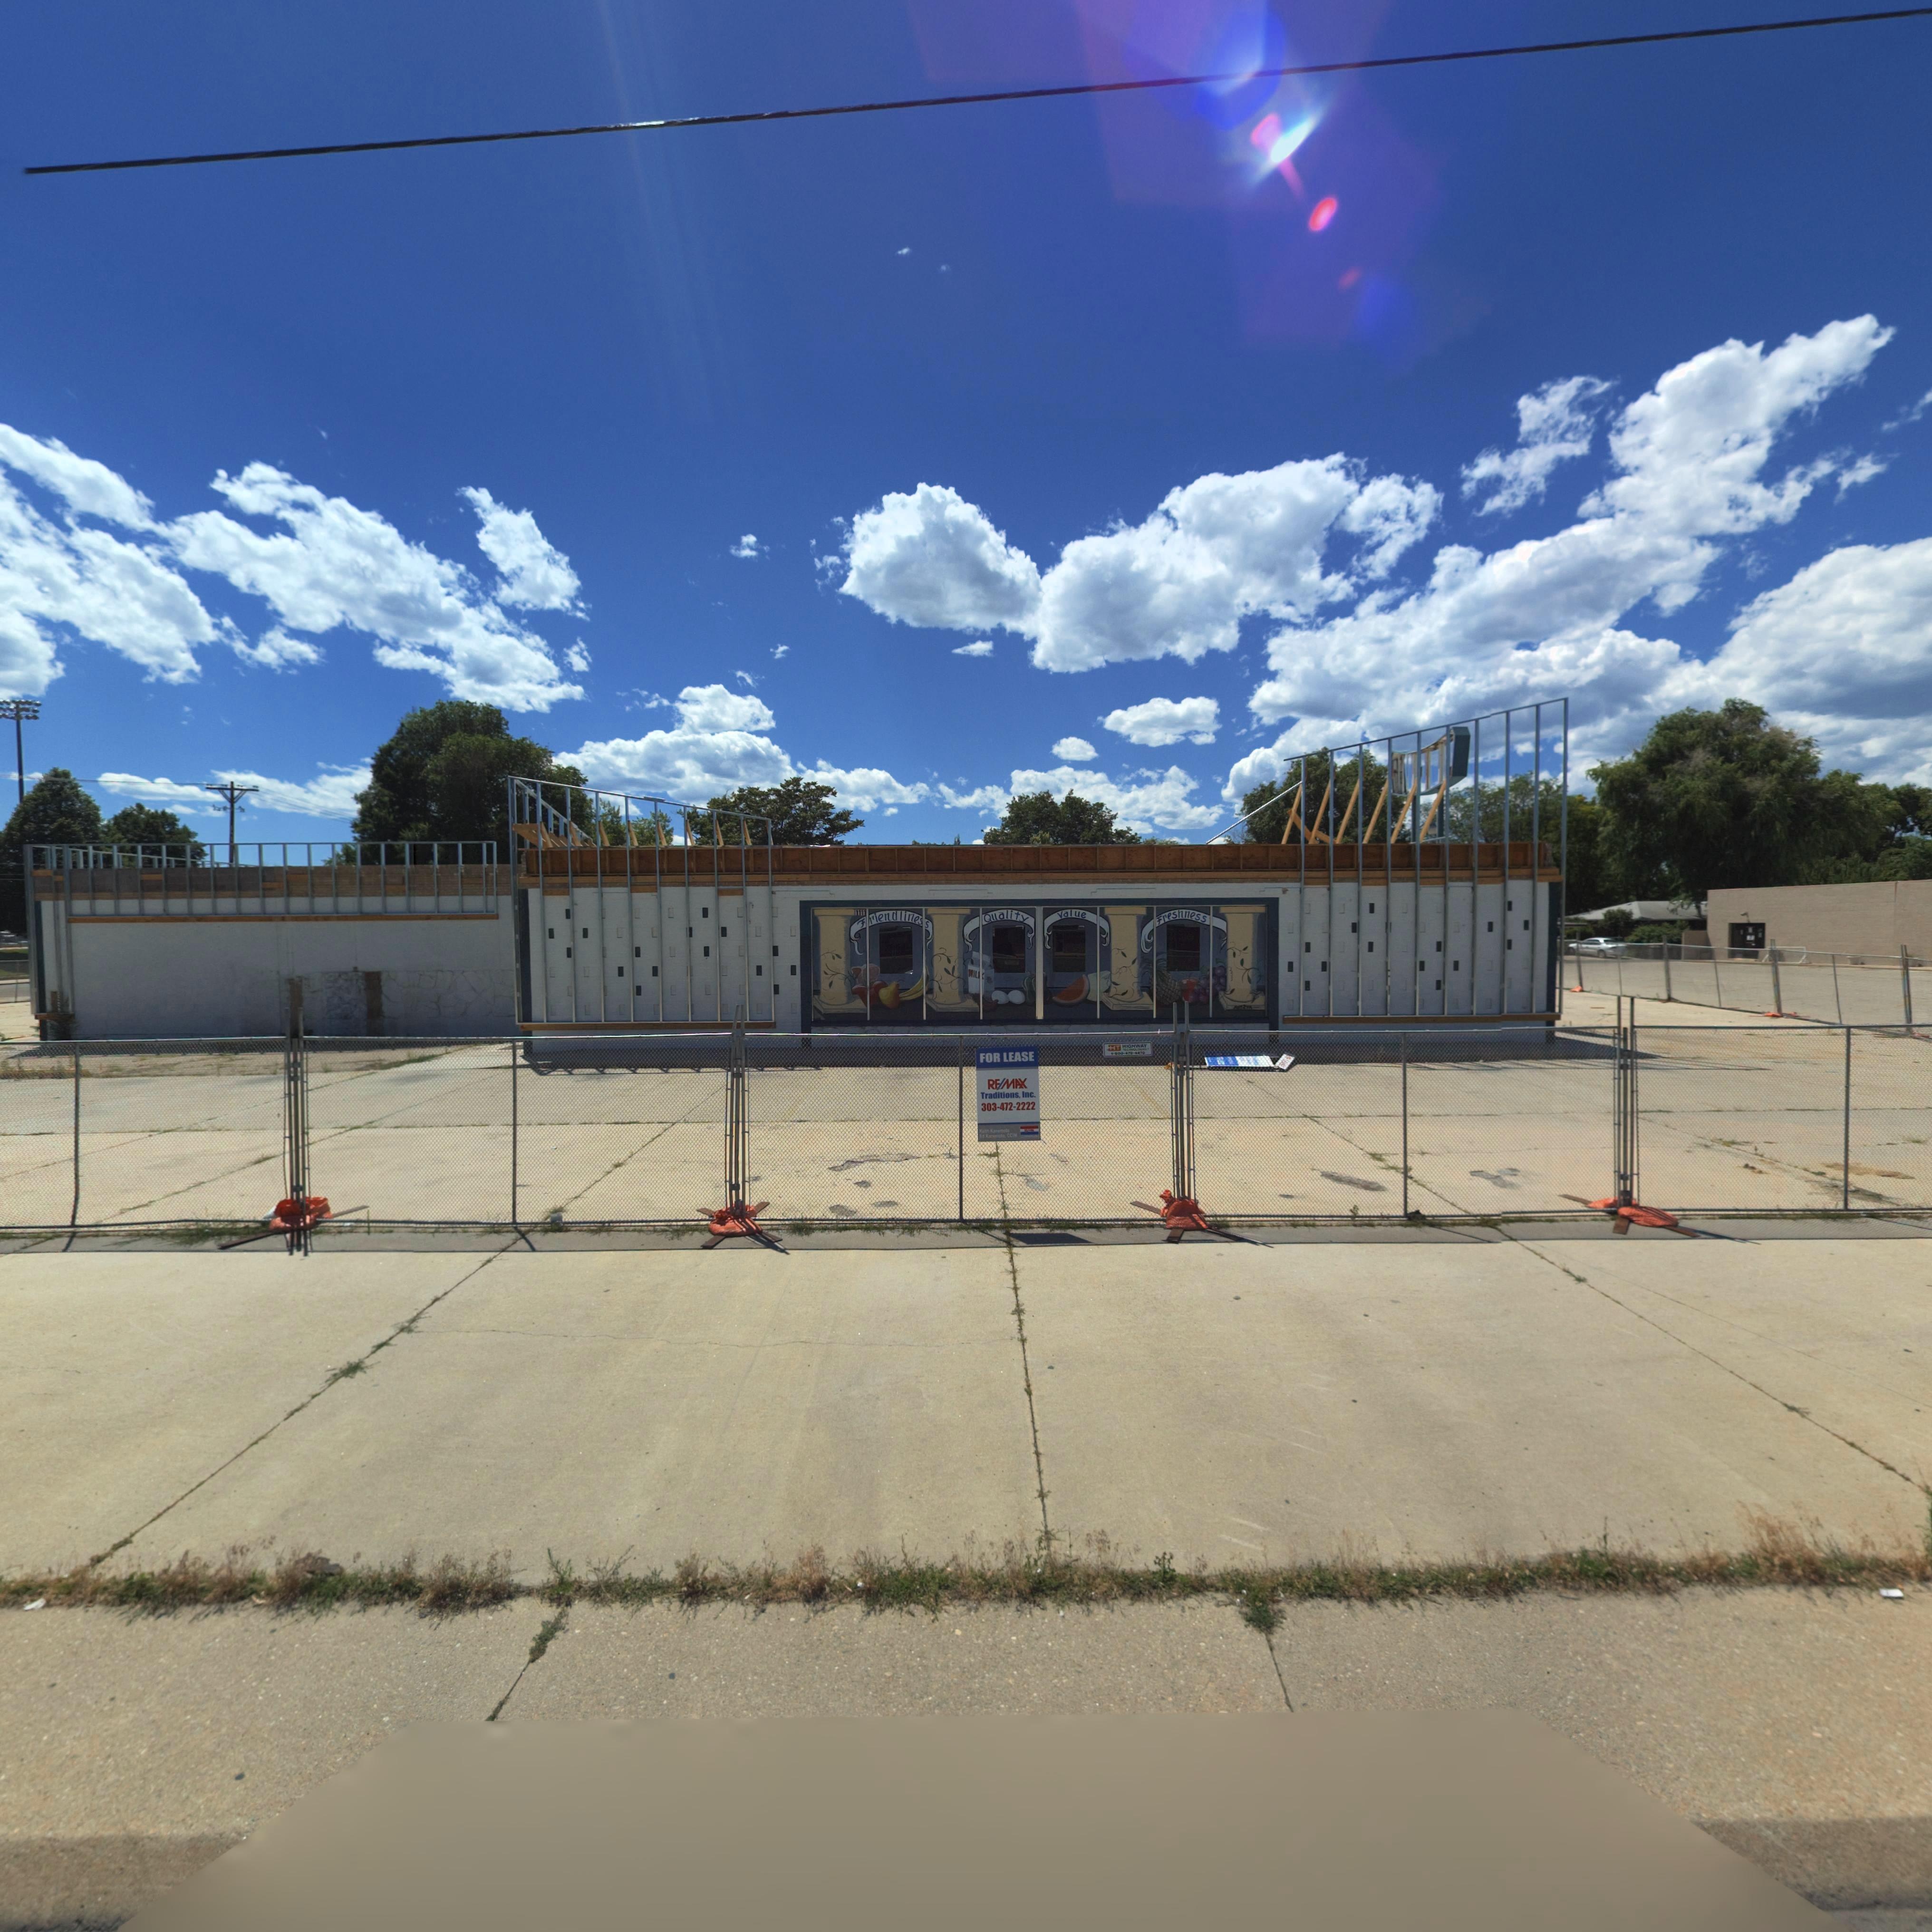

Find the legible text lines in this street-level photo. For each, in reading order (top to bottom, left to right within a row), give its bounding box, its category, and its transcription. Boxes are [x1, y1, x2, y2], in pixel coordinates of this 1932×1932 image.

[855, 909, 866, 916] StreetNumber: 1111